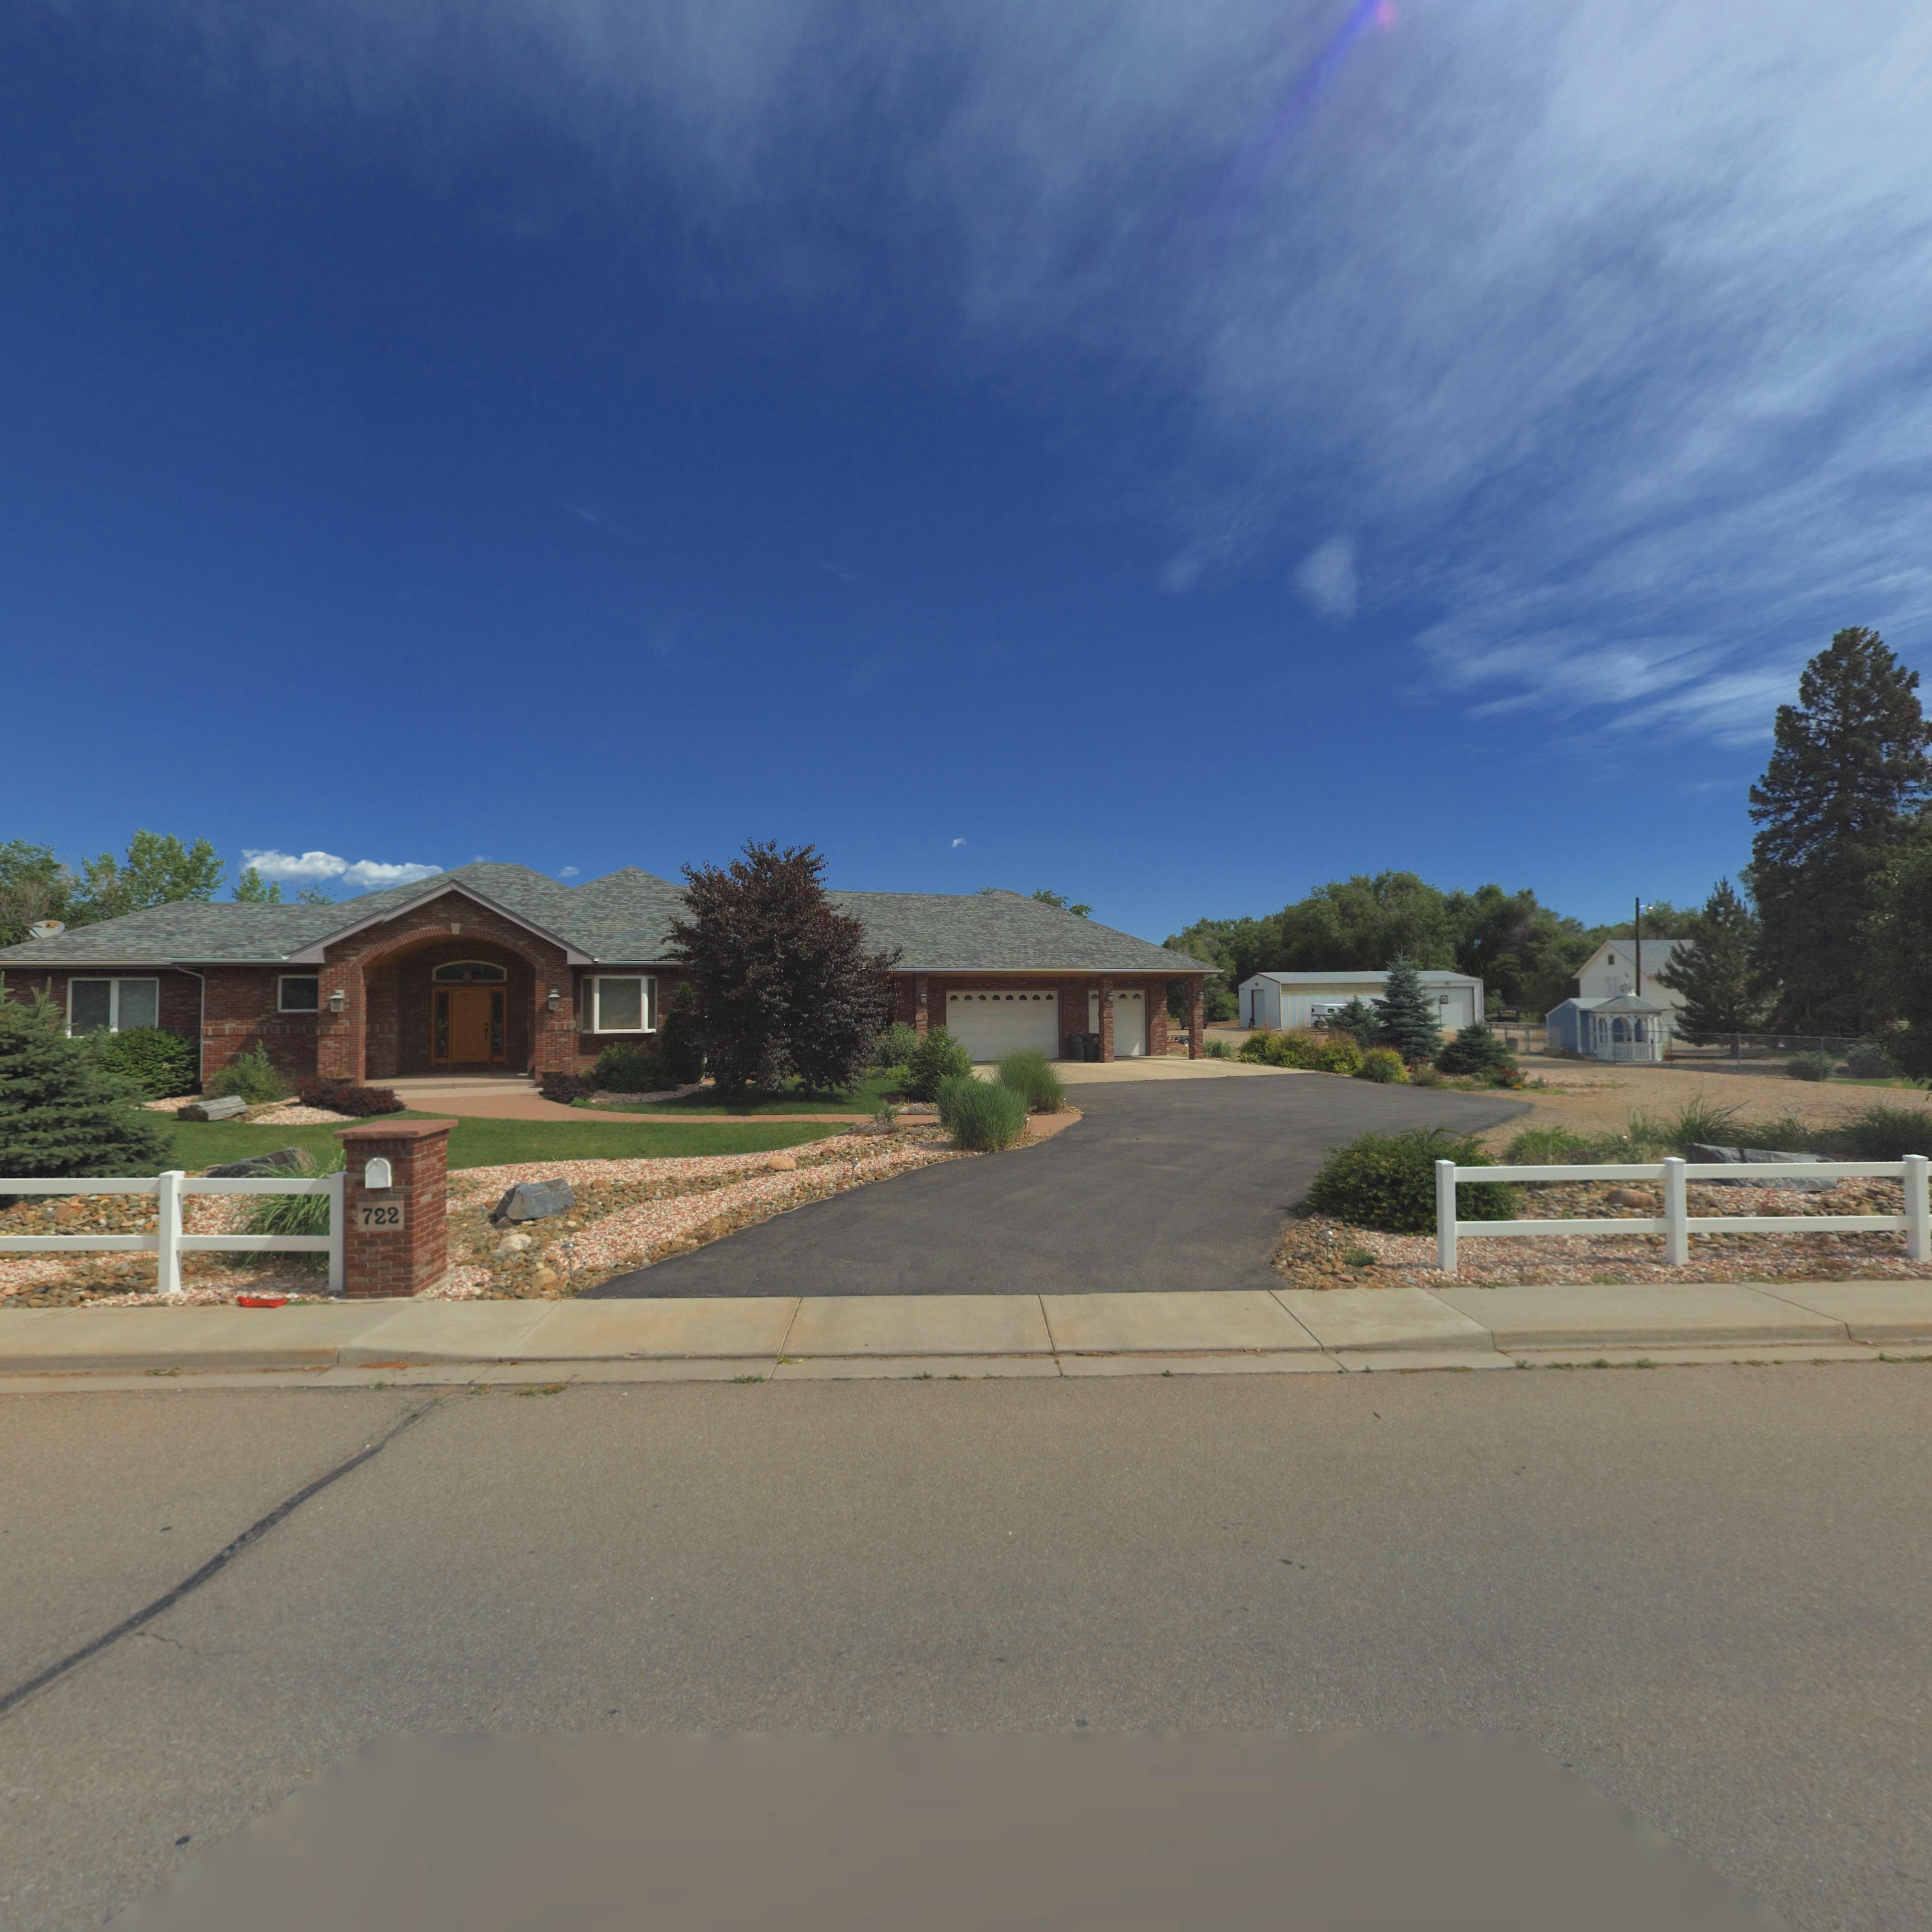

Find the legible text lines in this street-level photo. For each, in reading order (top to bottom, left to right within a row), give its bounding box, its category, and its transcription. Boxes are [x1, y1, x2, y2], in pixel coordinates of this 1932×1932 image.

[361, 1206, 399, 1225] StreetNumber: 722